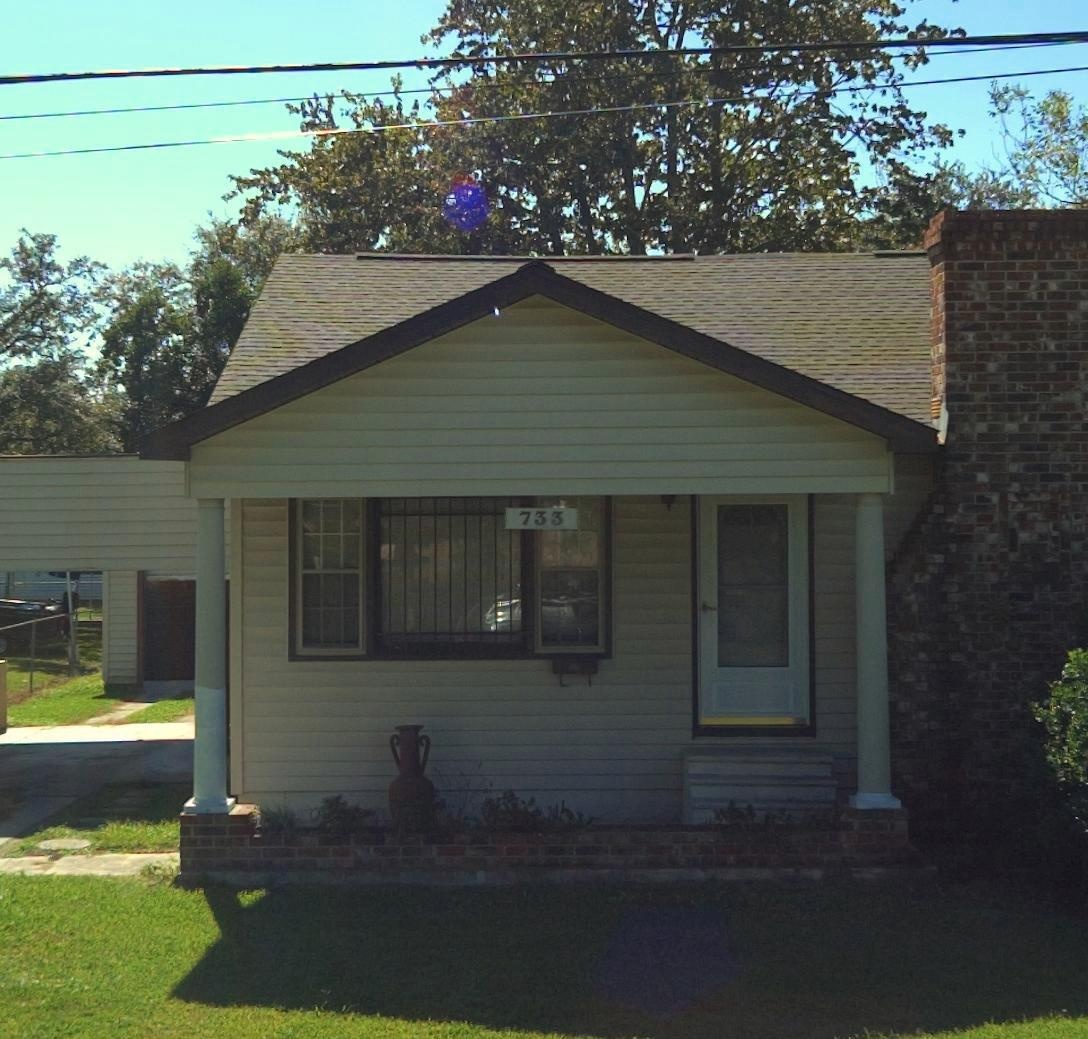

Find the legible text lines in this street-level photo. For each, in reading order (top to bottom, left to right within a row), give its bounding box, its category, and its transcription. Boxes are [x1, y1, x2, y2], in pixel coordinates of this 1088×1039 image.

[518, 509, 565, 527] StreetNumber: 733